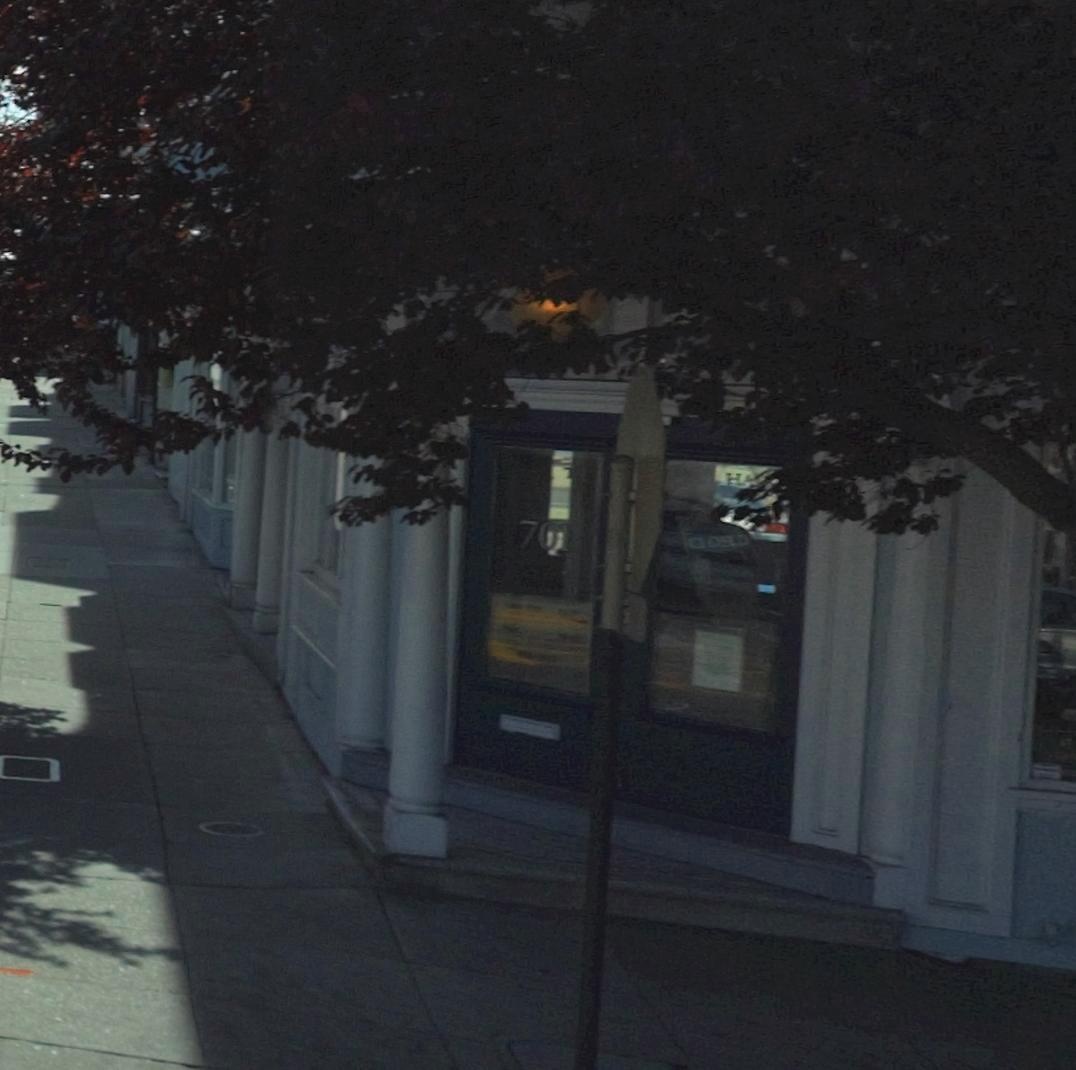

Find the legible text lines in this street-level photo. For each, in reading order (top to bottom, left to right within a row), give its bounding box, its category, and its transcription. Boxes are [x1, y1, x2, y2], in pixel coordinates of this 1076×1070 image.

[724, 472, 743, 488] None: H
[517, 517, 571, 555] StreetNumber: 701
[685, 531, 753, 552] None: **OS*D